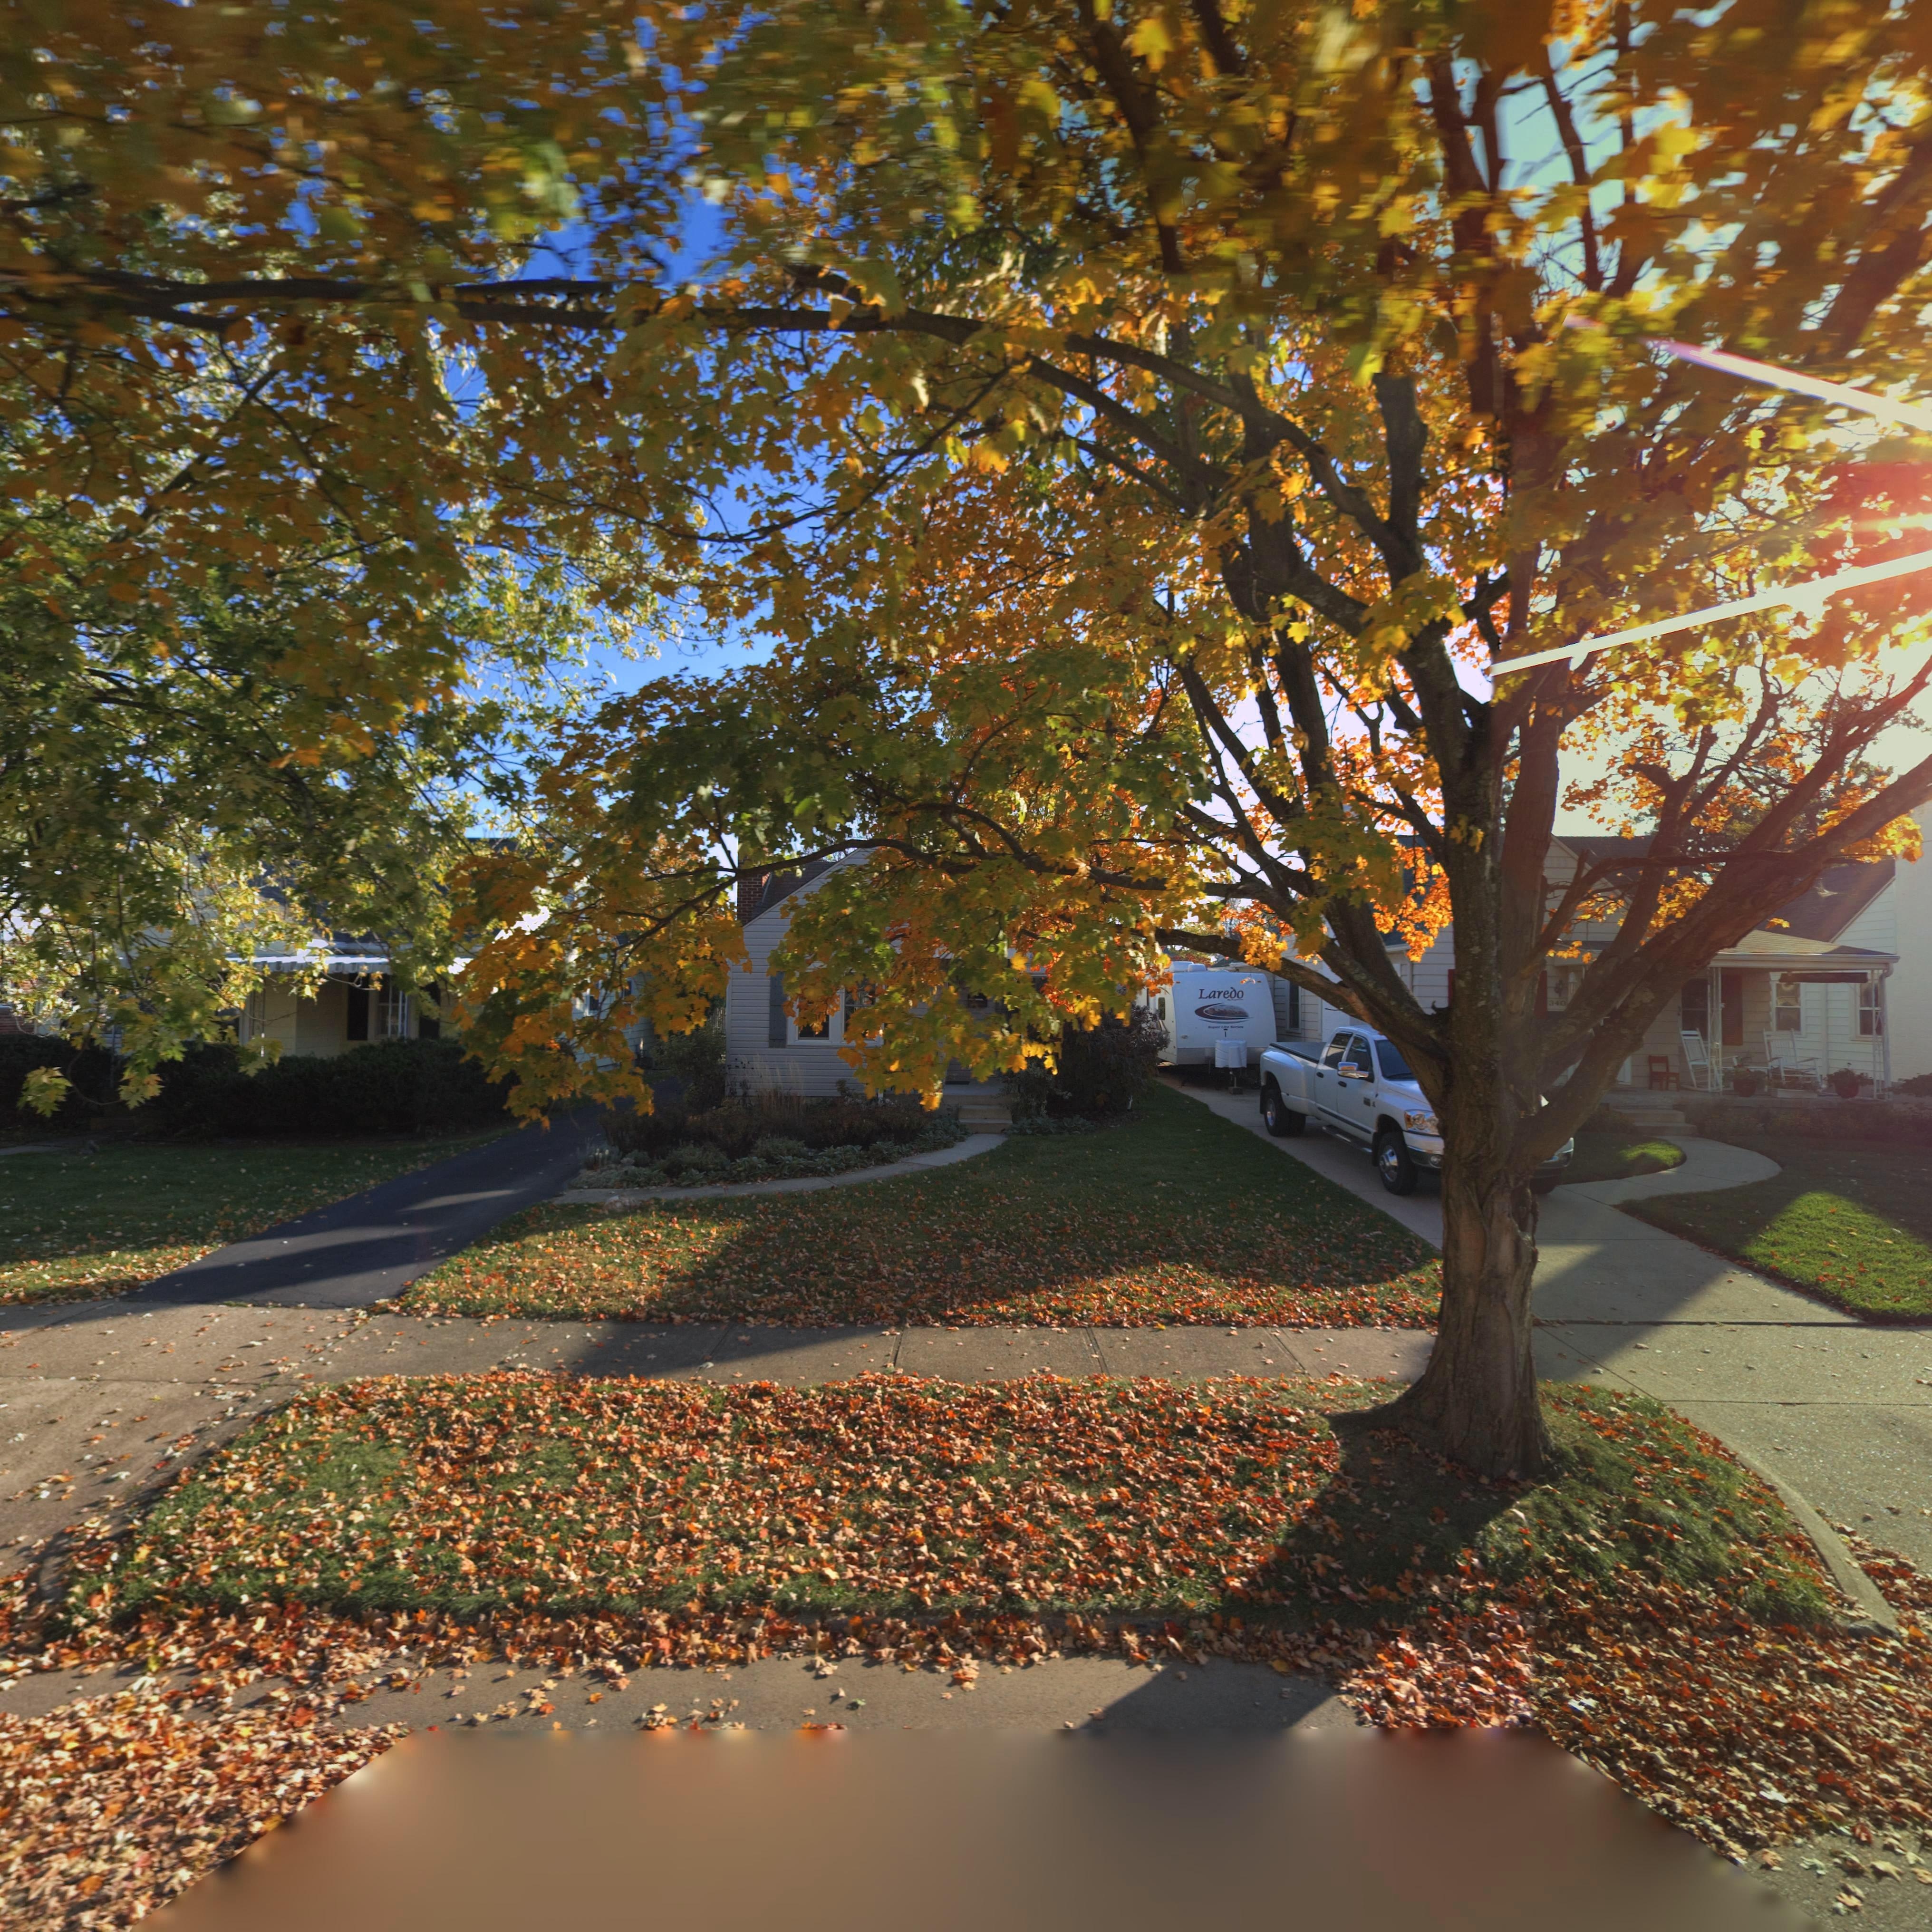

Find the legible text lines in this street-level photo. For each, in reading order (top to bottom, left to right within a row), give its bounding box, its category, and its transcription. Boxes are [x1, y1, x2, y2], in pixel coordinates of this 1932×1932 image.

[1548, 999, 1566, 1006] StreetNumber: 340